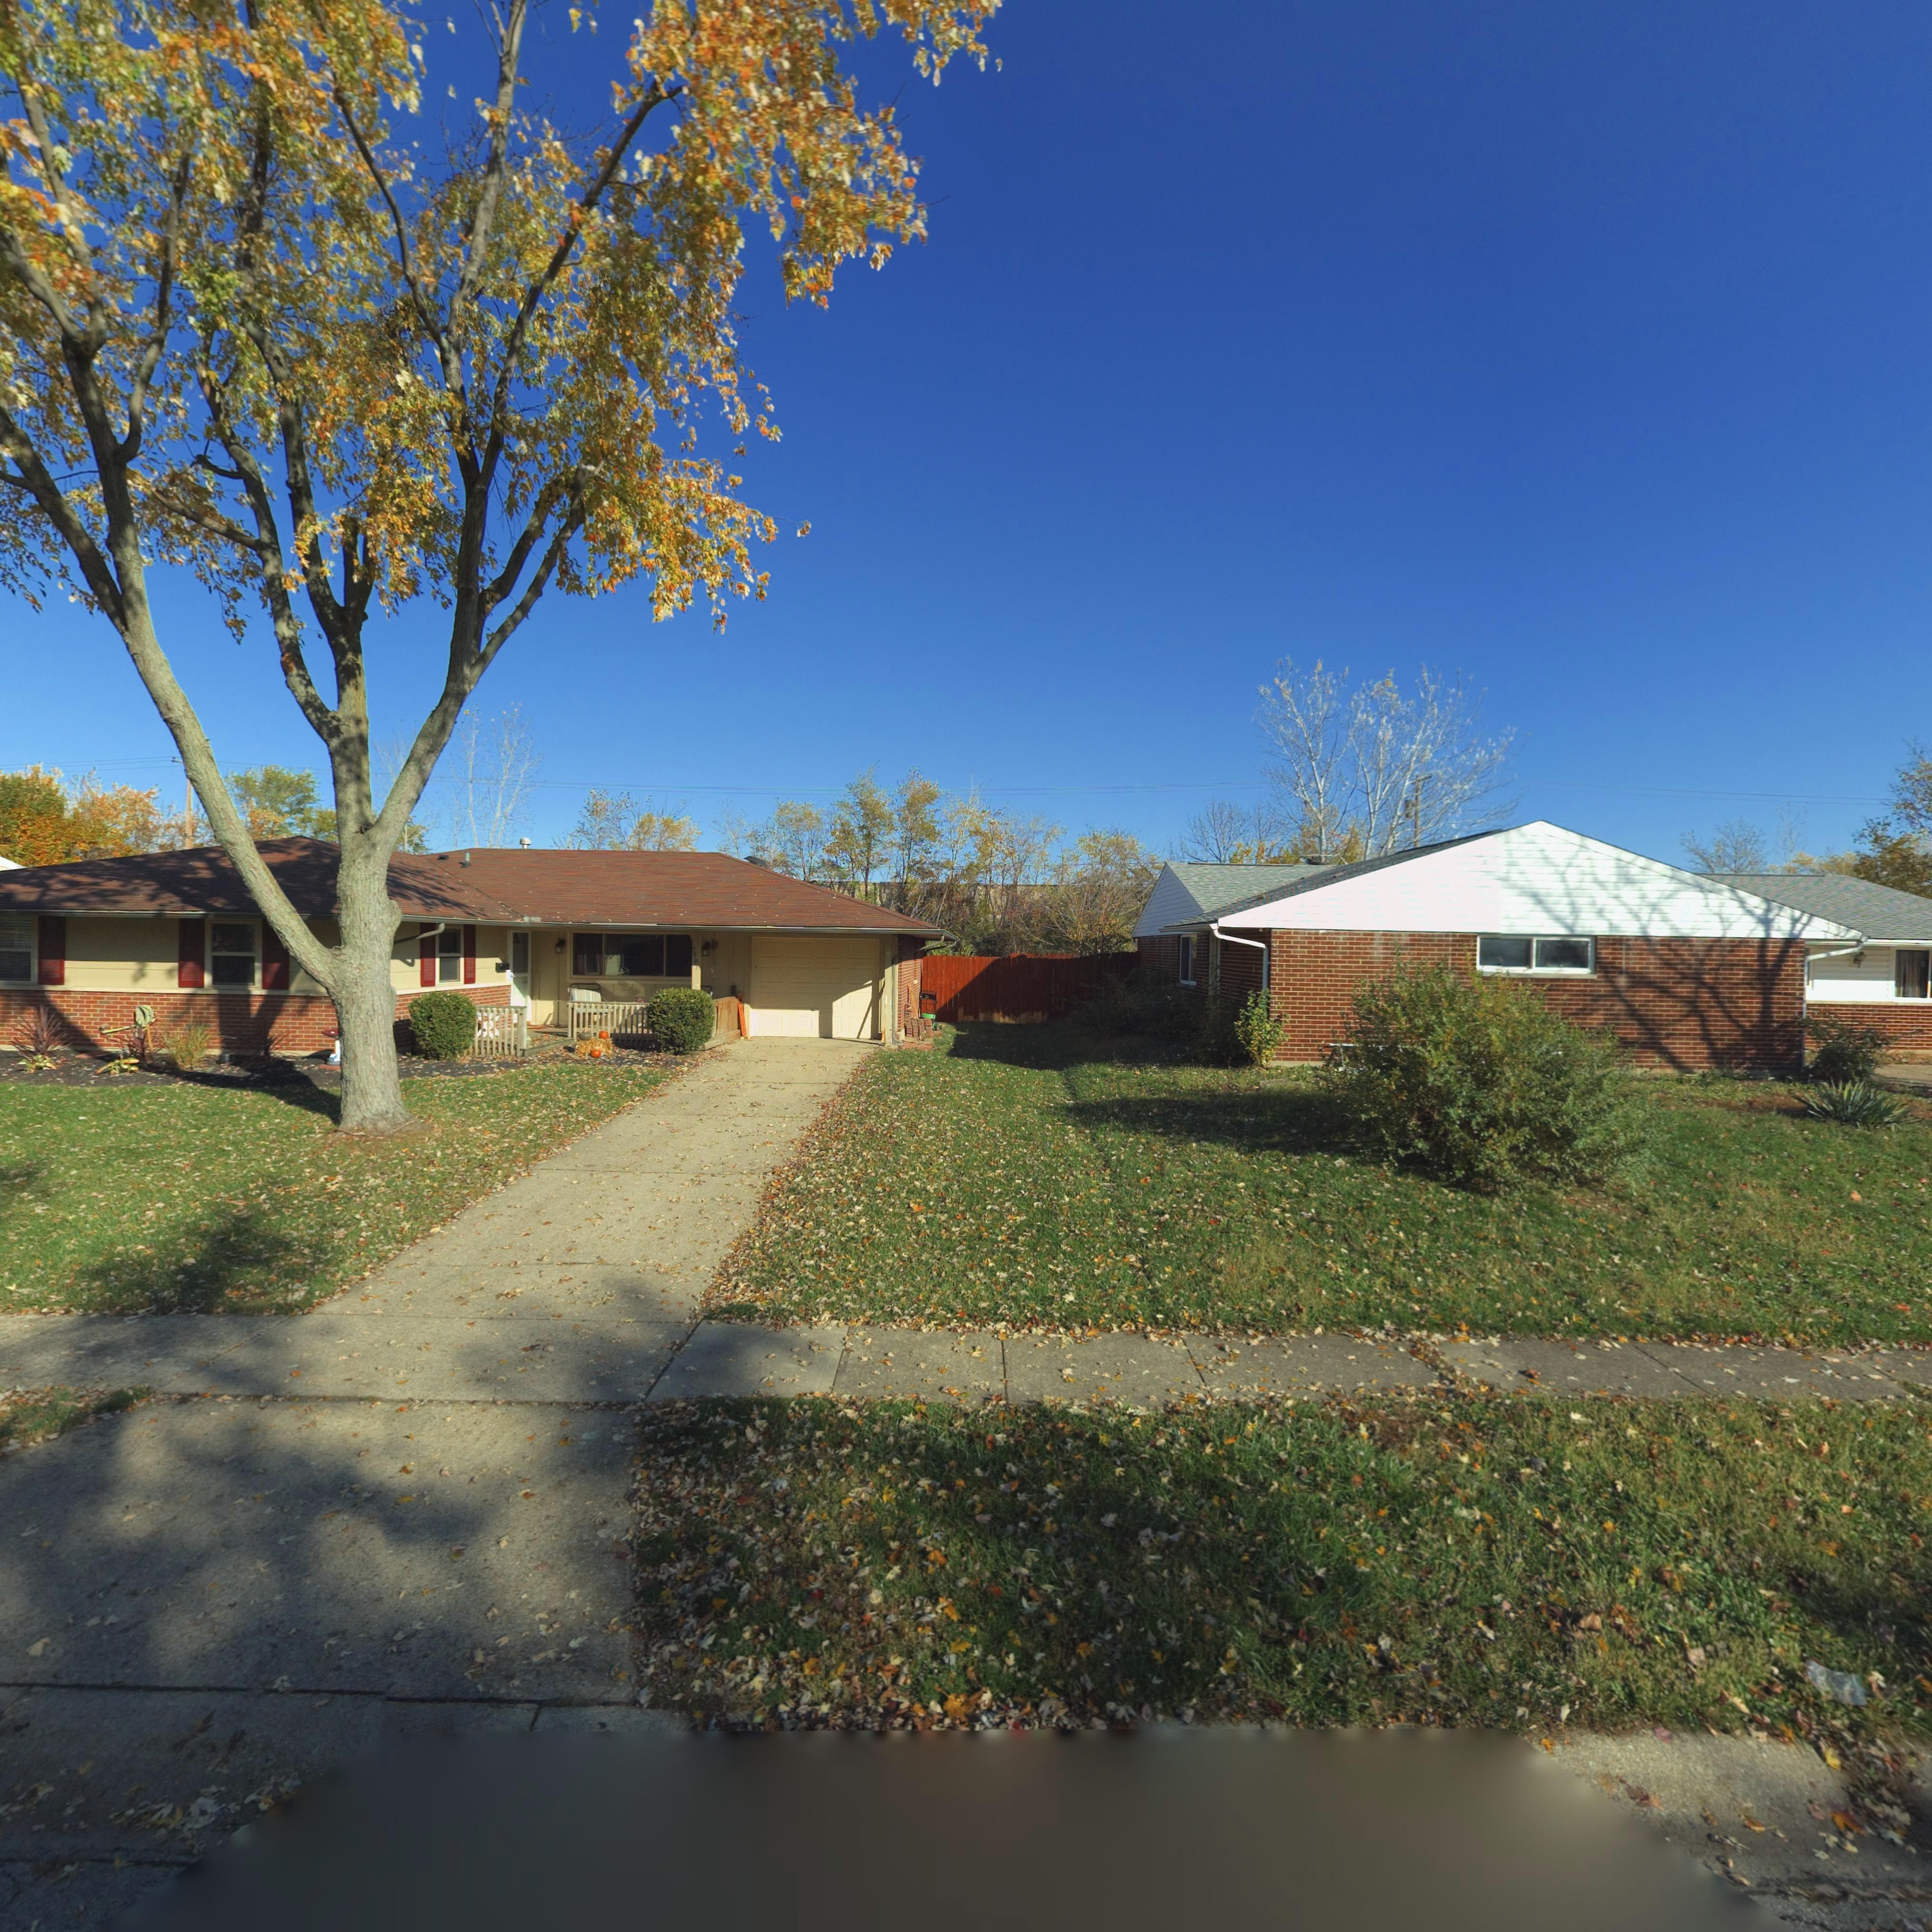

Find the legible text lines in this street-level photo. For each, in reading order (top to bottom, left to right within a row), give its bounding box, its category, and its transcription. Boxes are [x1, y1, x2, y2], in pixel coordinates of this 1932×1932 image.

[692, 947, 699, 971] StreetNumber: 7987